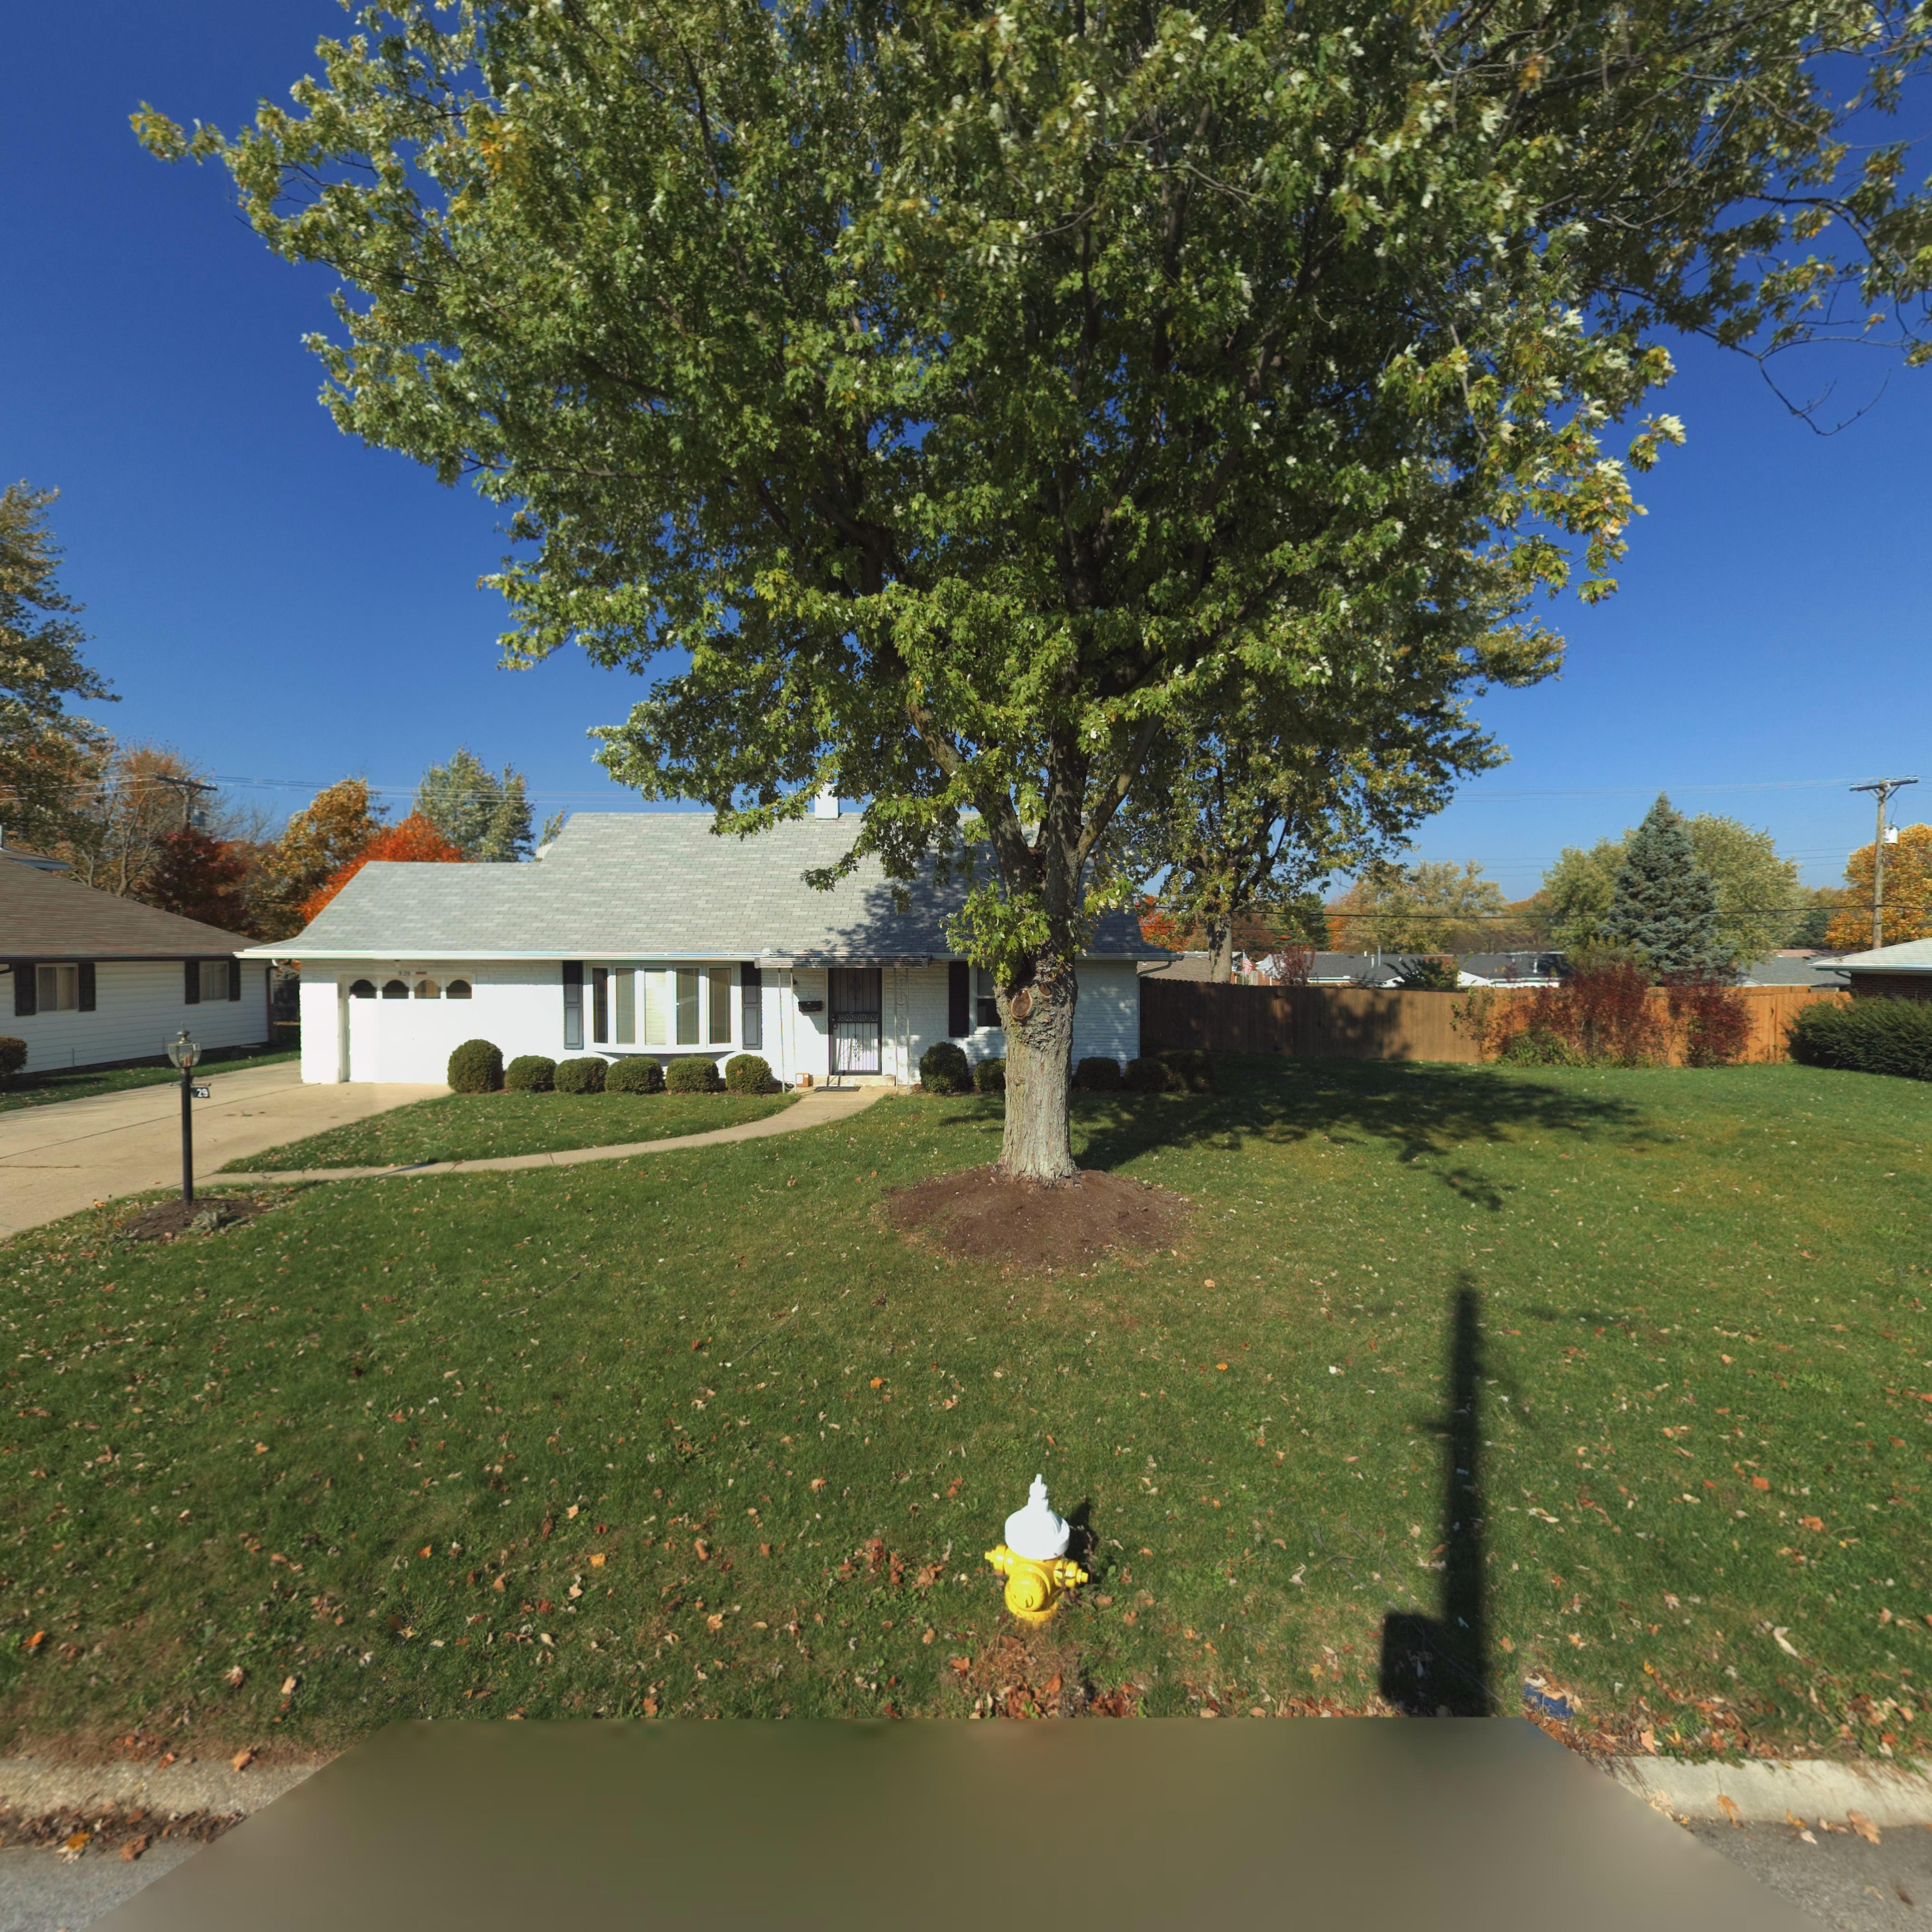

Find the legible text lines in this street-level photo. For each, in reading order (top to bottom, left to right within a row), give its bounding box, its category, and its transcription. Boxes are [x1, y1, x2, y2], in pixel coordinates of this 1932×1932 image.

[396, 969, 412, 977] StreetNumber: 929
[194, 1087, 210, 1098] StreetNumber: 29